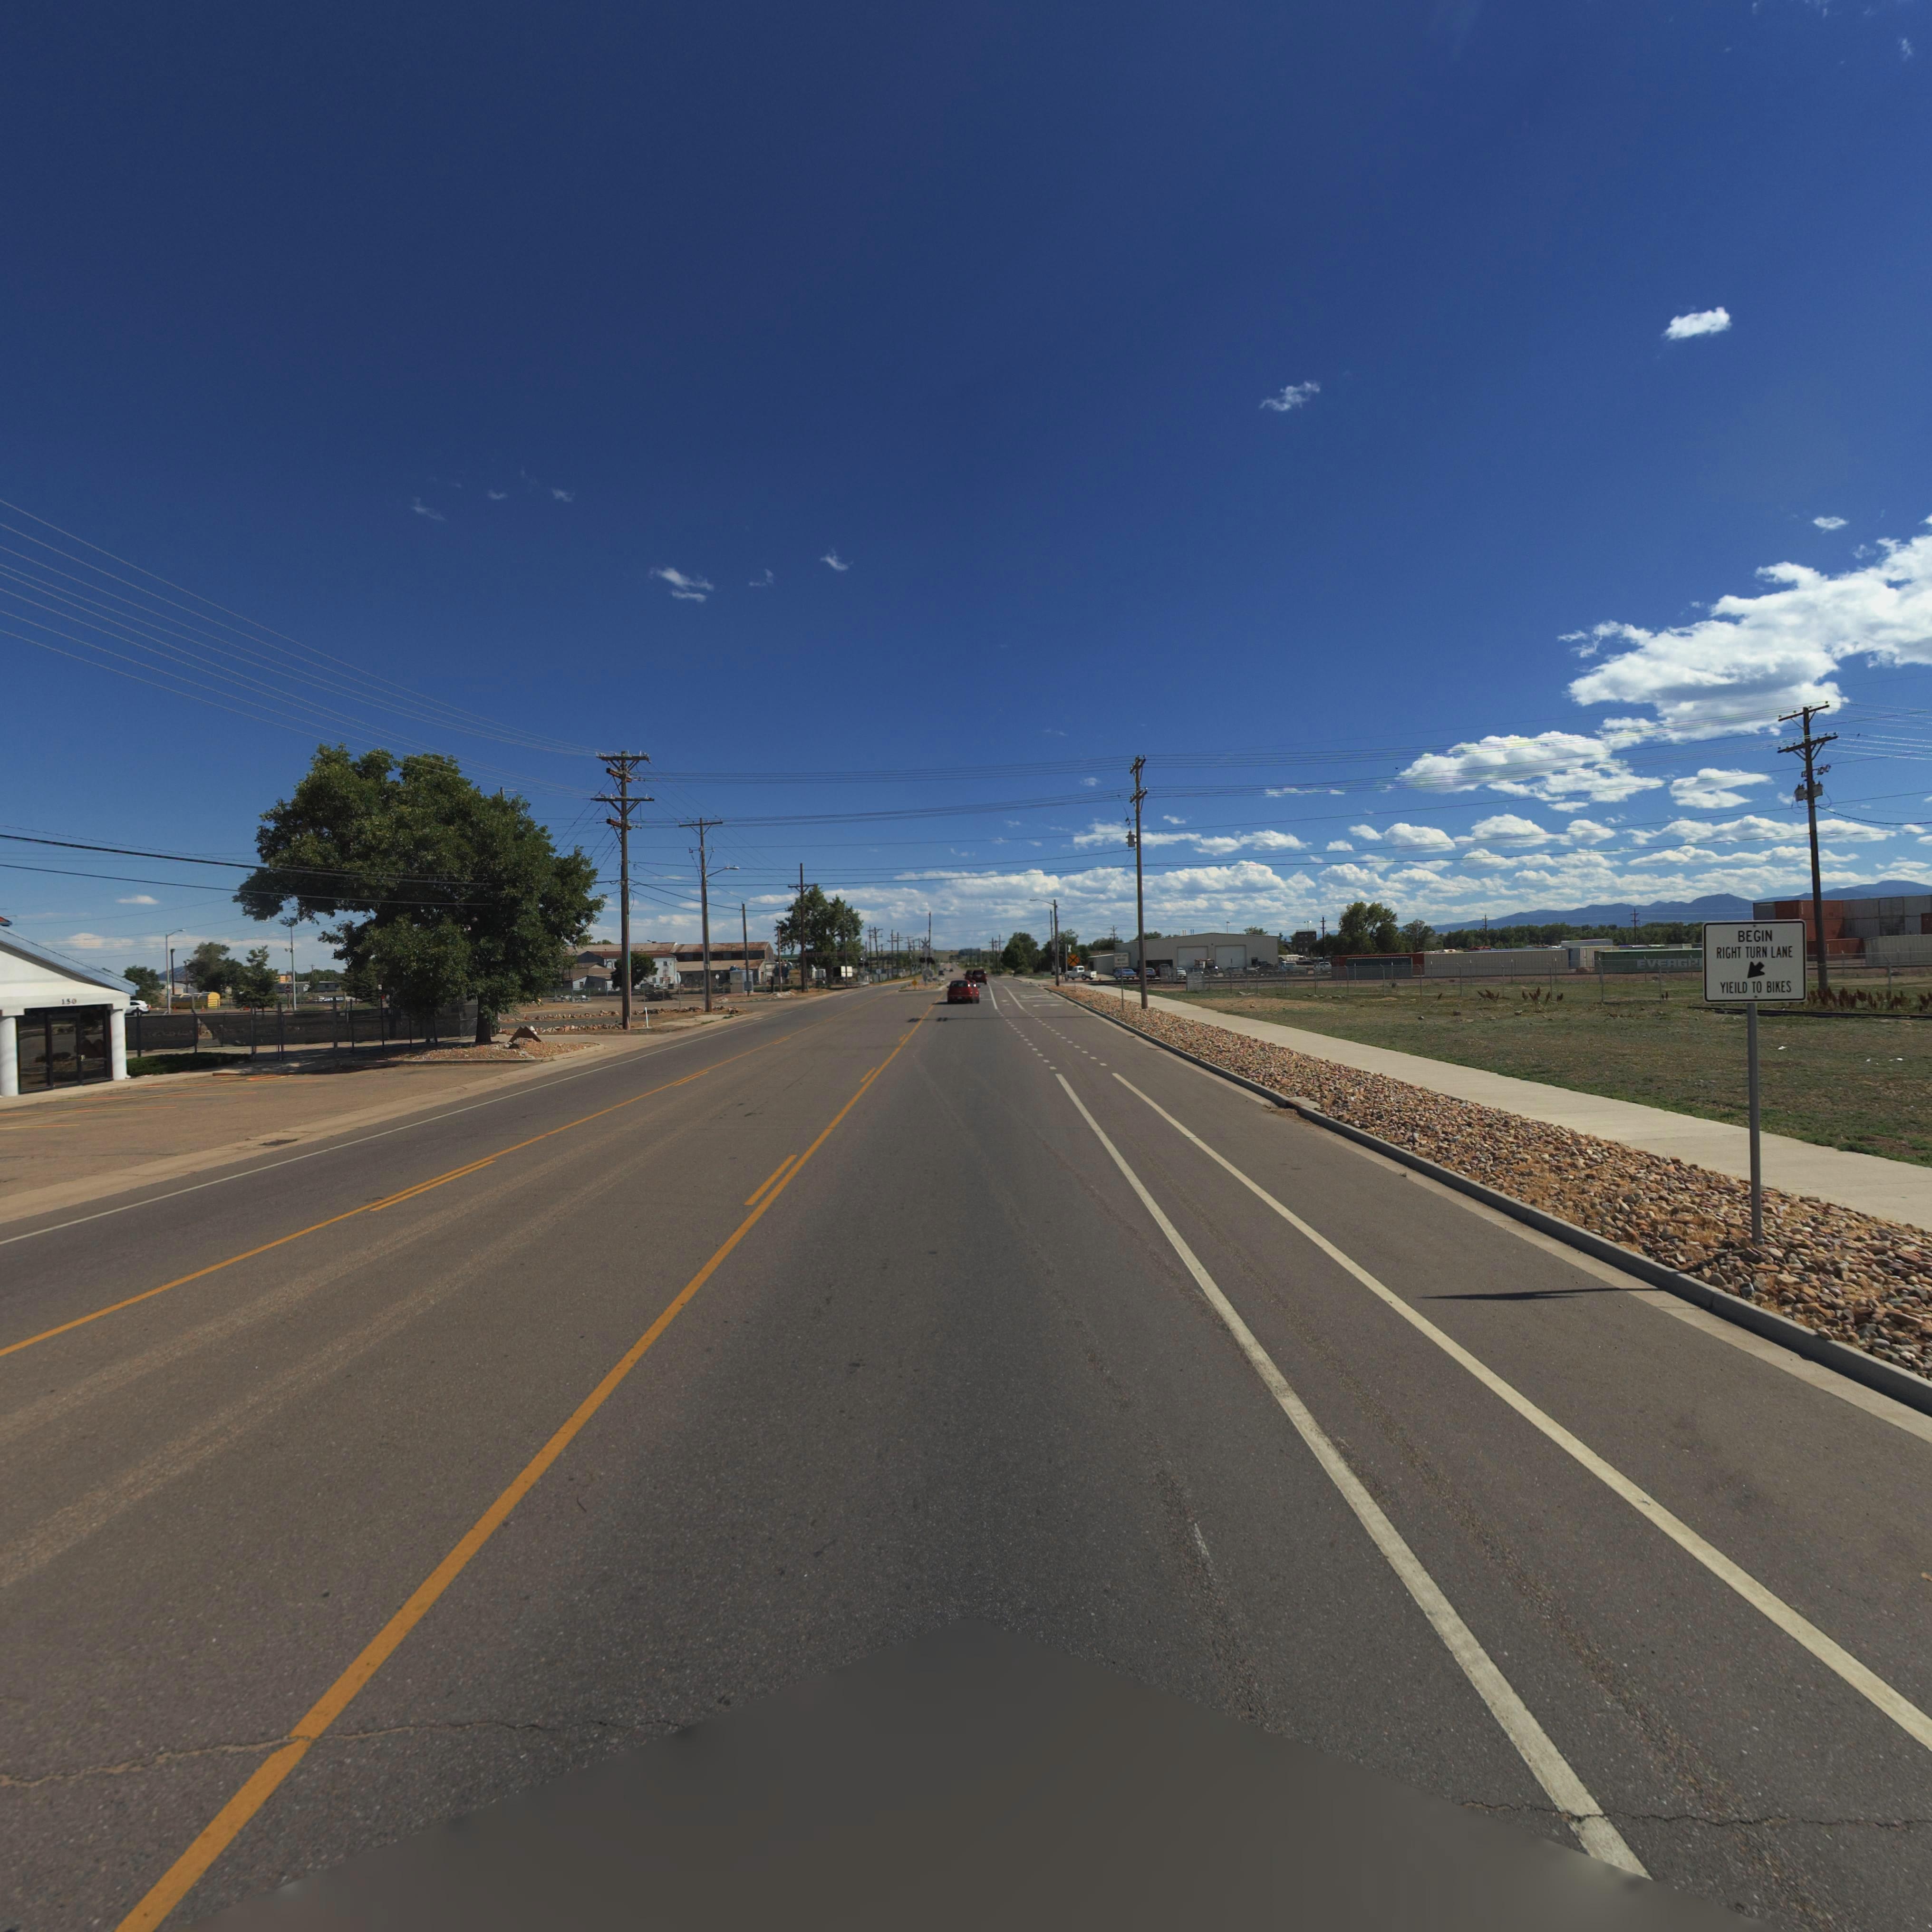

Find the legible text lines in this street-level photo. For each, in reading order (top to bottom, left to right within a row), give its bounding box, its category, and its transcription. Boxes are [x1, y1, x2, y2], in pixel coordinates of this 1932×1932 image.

[61, 998, 77, 1005] StreetNumber: 150